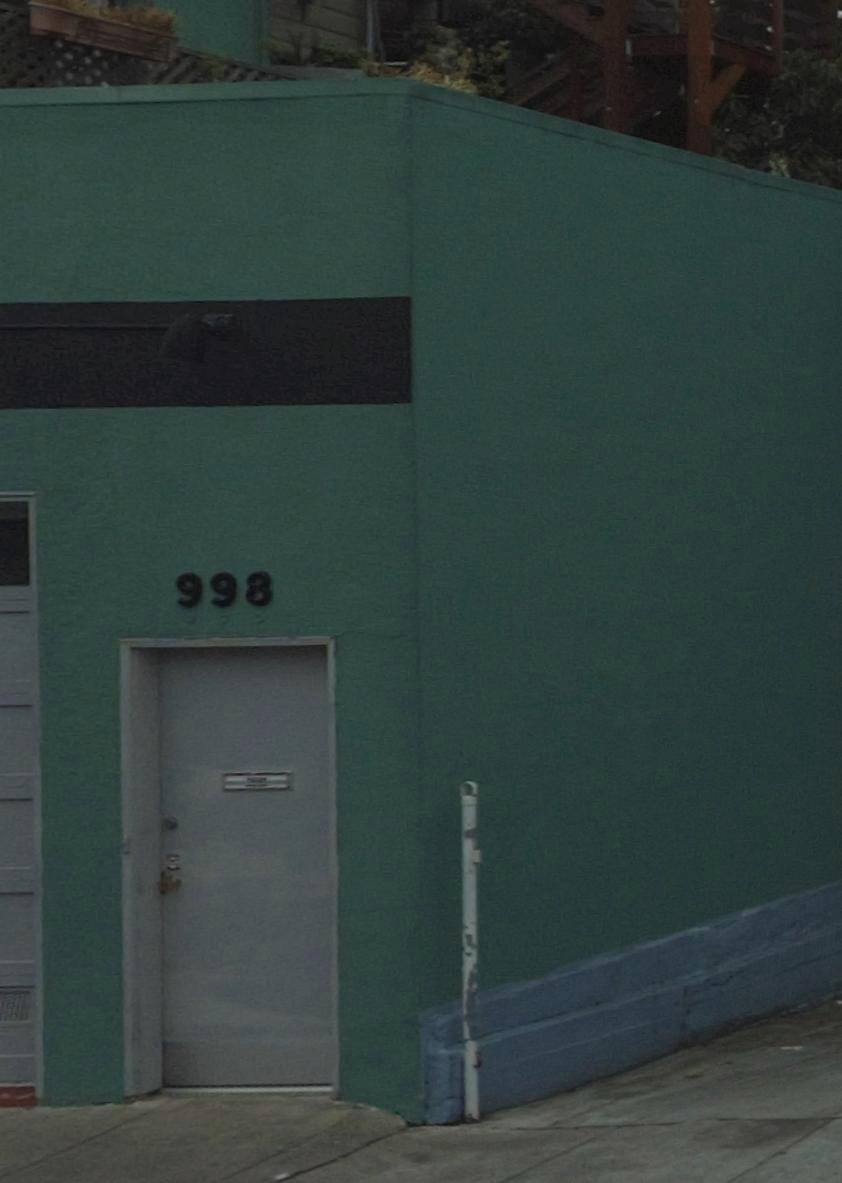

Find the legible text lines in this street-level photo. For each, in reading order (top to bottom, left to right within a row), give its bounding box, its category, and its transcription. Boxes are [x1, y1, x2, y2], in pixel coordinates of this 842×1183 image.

[174, 571, 273, 609] StreetNumber: 998